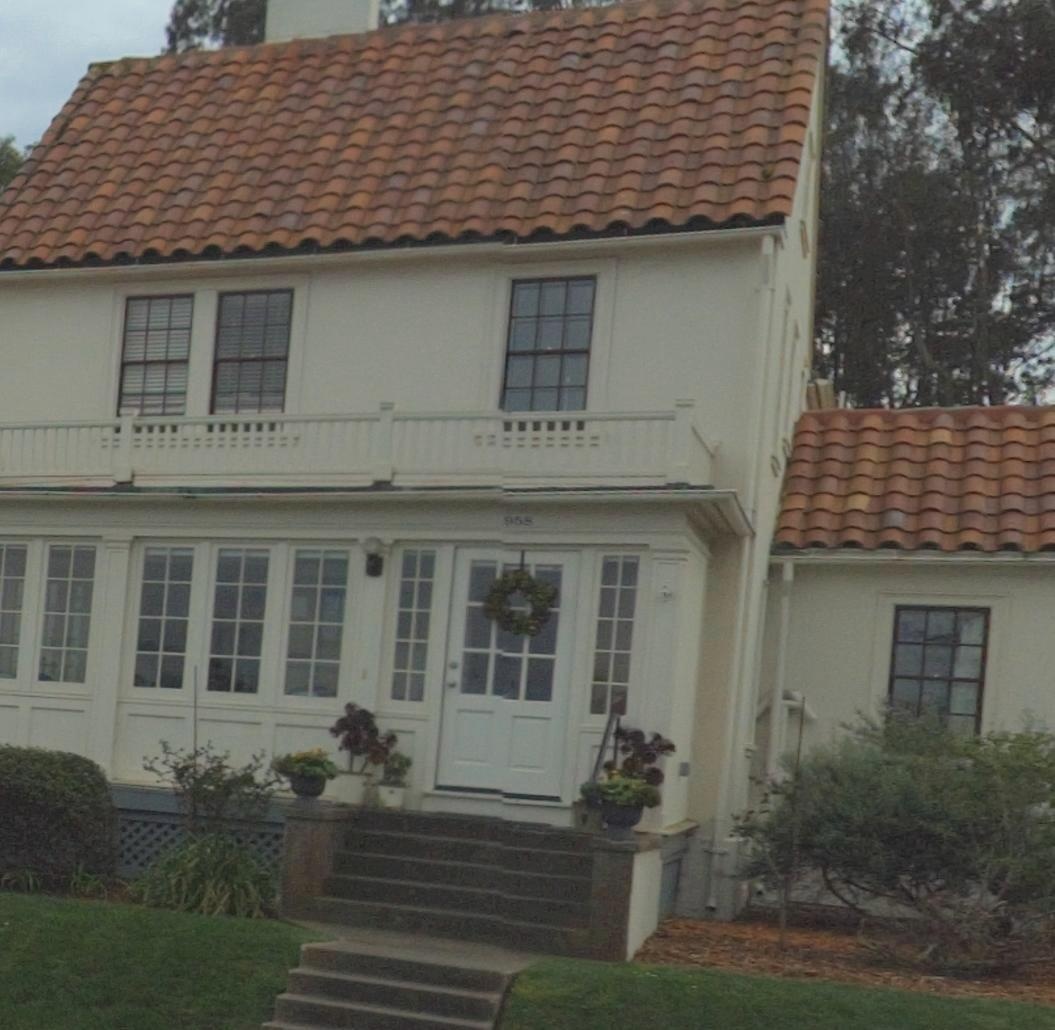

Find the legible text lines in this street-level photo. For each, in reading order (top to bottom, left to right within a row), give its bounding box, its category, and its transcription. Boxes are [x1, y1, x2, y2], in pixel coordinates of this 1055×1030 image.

[504, 514, 534, 527] StreetNumber: 958